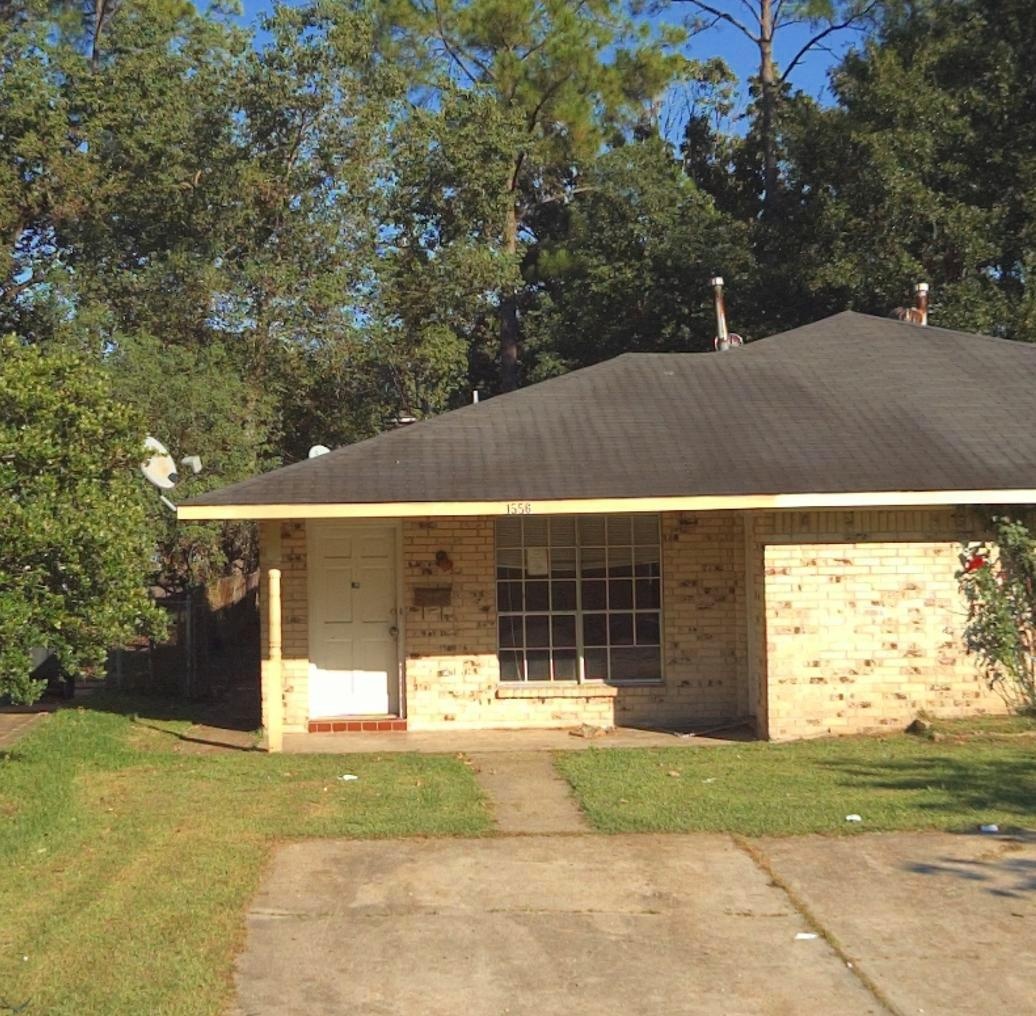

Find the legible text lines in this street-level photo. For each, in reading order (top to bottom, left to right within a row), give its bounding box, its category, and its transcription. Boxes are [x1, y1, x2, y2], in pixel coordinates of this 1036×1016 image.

[505, 502, 531, 515] StreetNumber: 1556